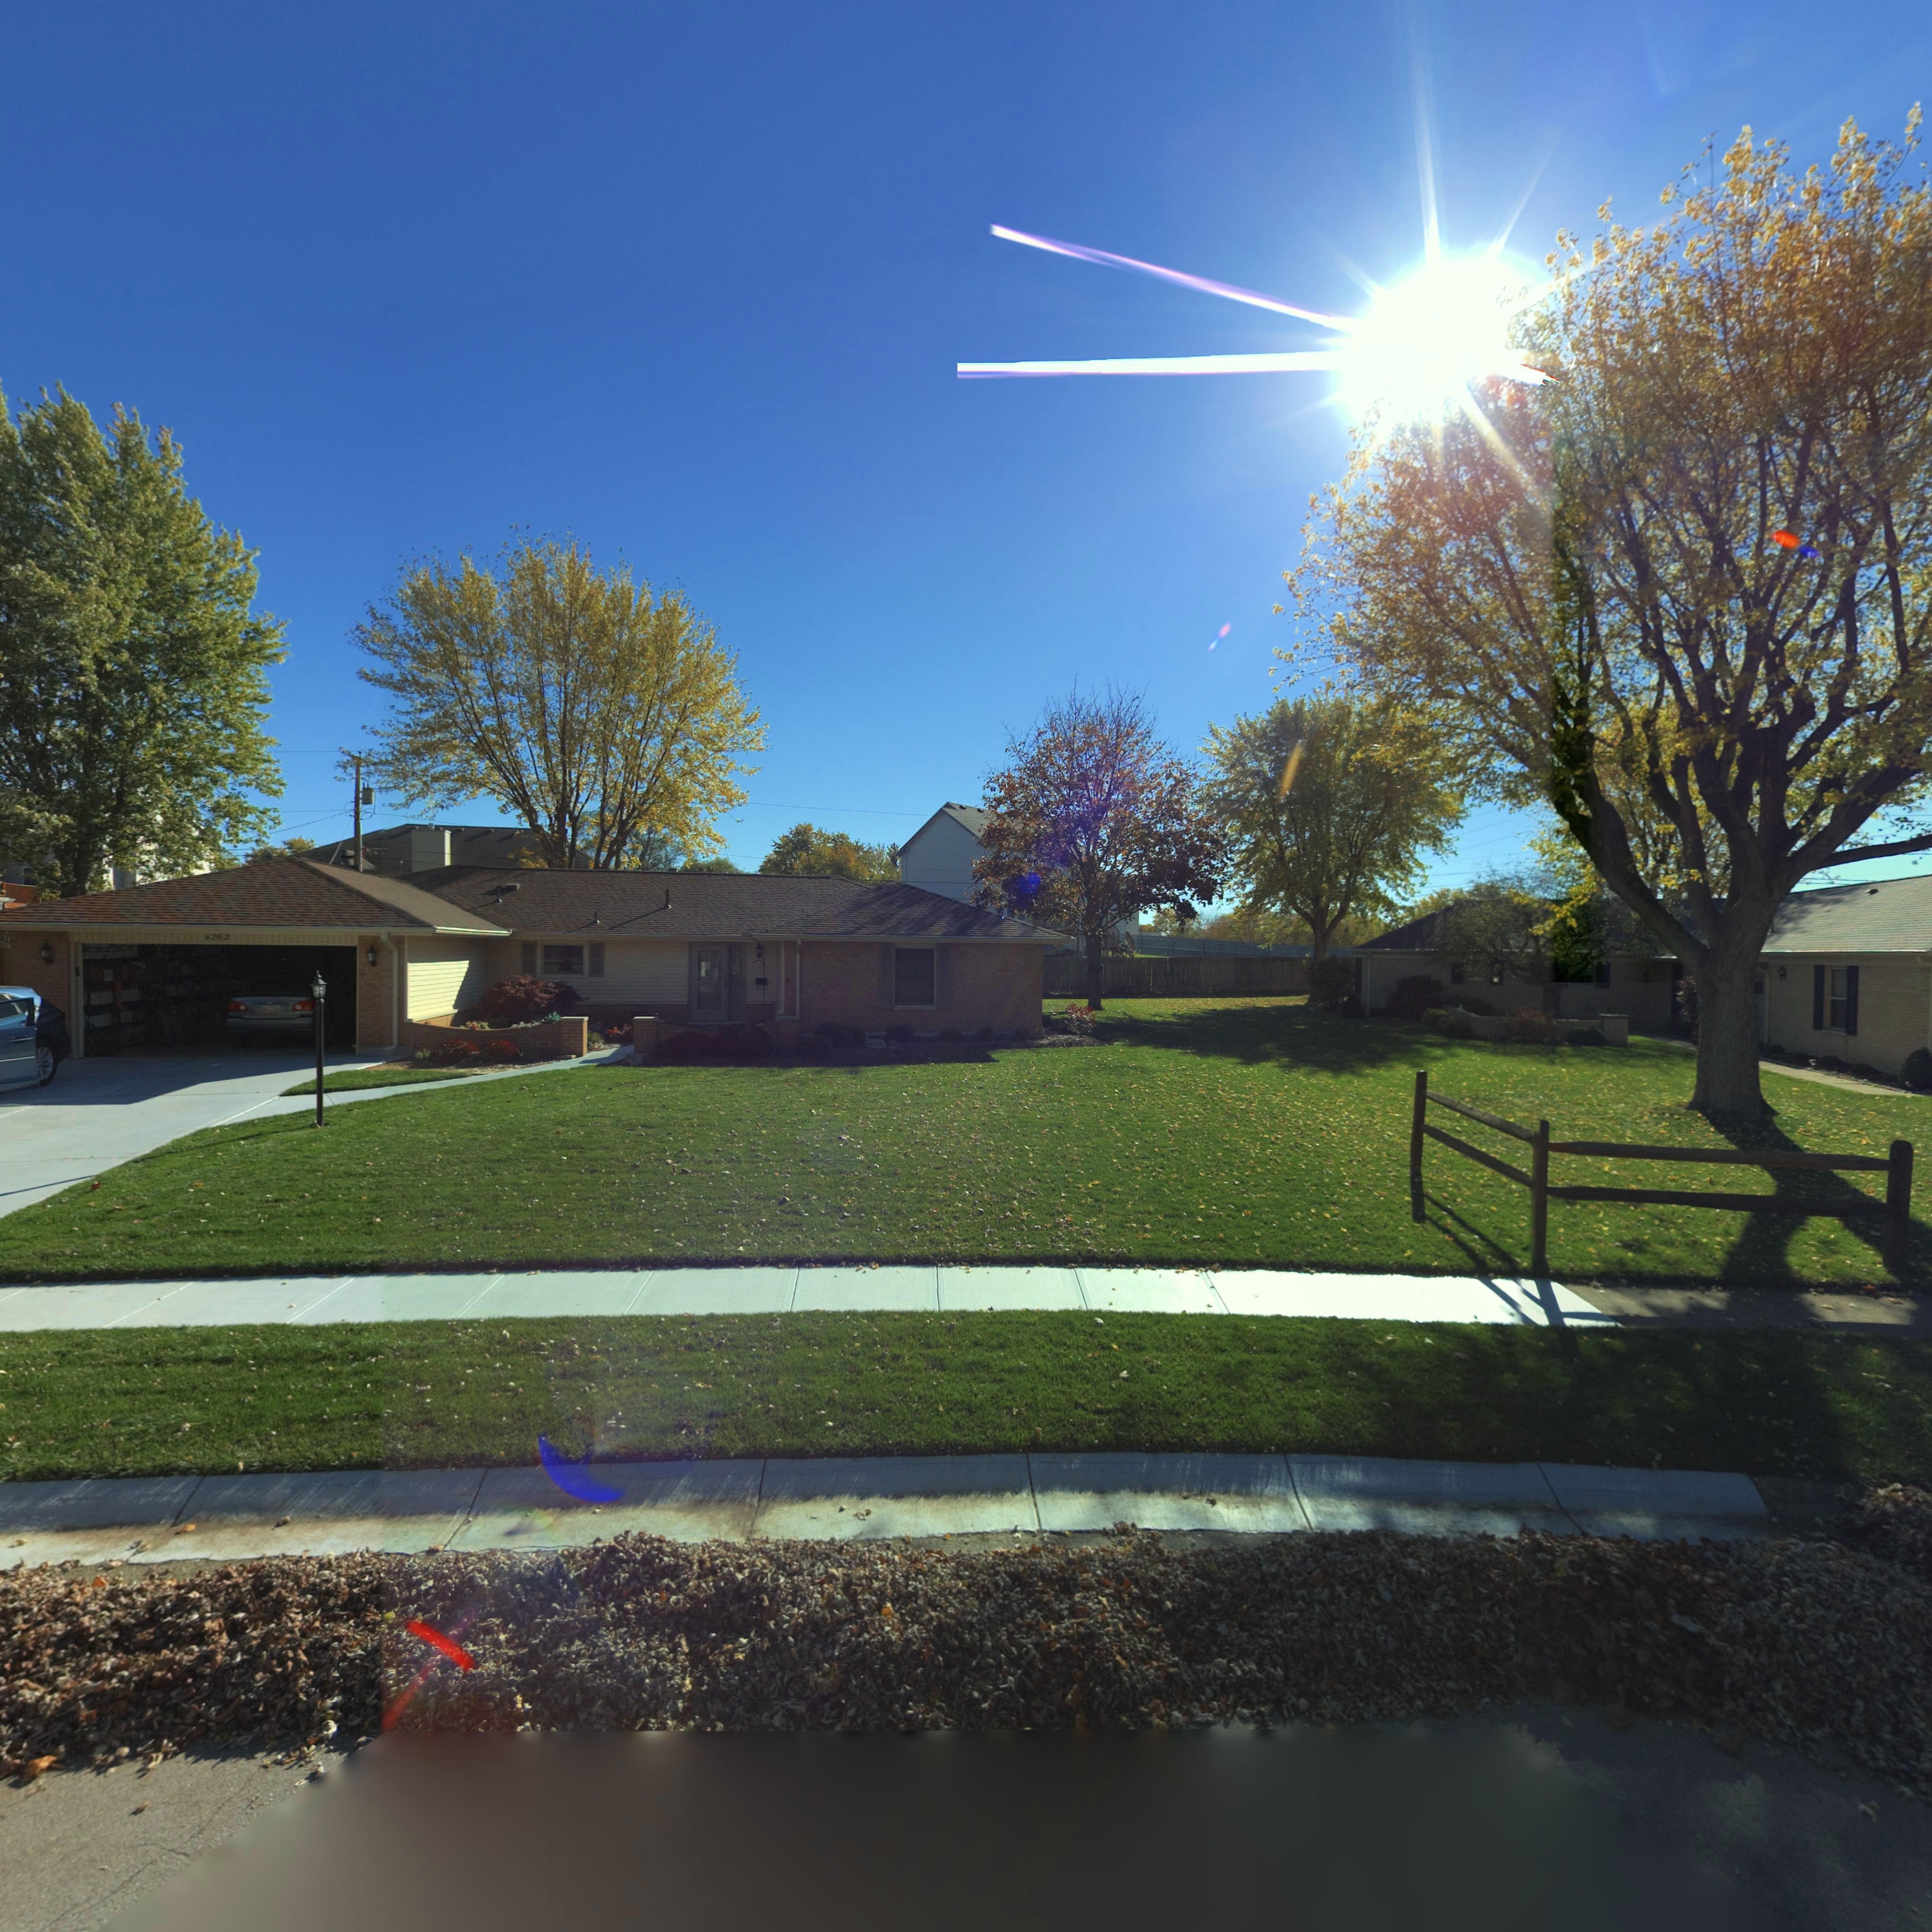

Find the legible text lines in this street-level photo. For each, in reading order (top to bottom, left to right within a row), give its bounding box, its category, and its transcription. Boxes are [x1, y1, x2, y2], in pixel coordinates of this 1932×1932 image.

[203, 932, 231, 942] StreetNumber: 4262